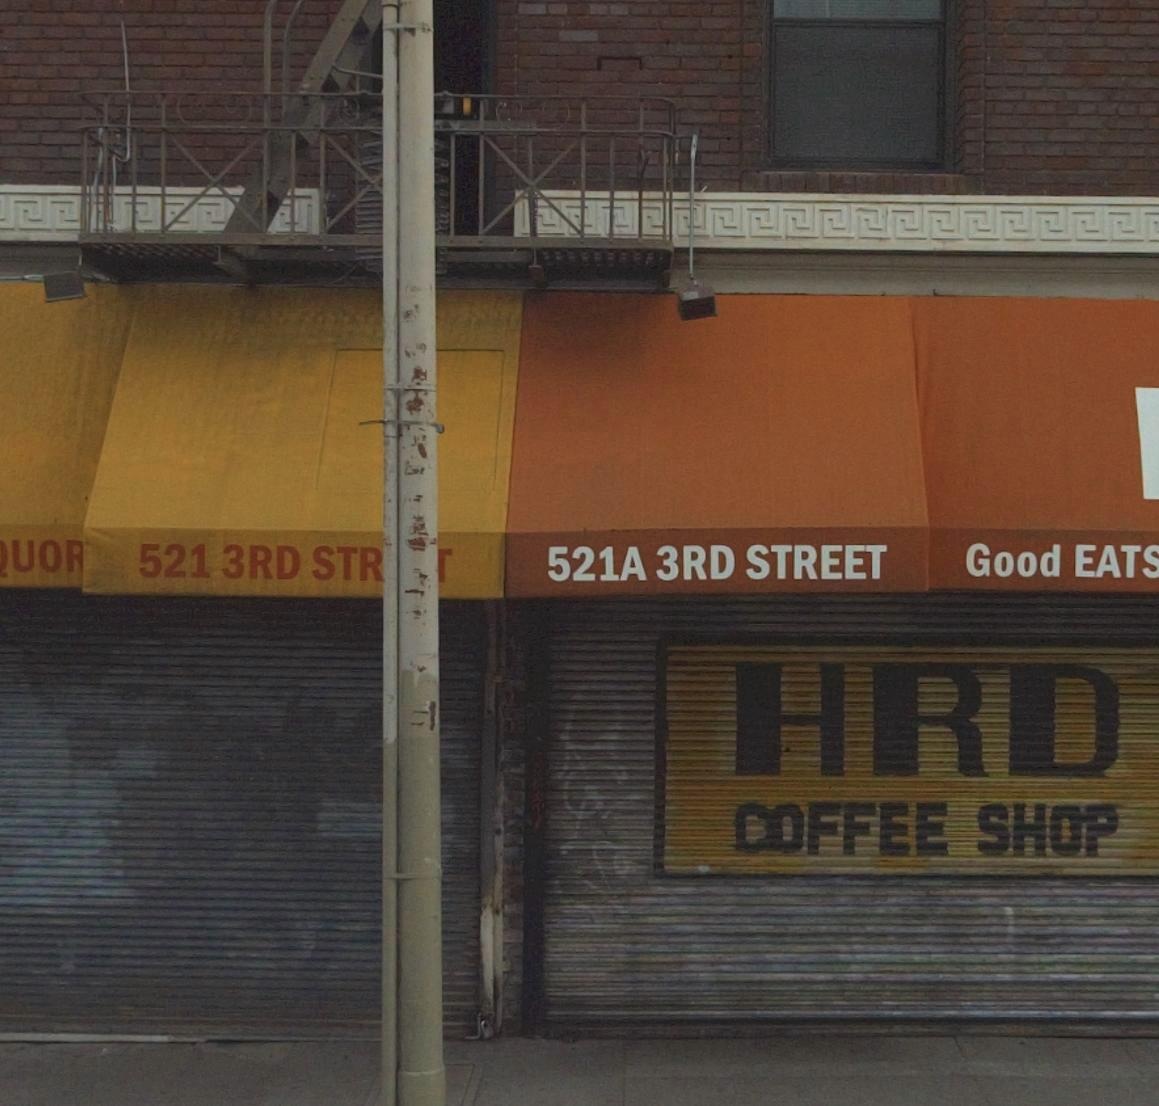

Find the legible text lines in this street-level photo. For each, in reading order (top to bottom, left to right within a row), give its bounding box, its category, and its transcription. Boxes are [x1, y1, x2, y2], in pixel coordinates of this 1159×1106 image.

[8, 536, 65, 576] None: UO
[136, 540, 213, 581] StreetNumber: 521
[219, 541, 388, 585] StreetName: 3RD STR
[546, 542, 650, 584] StreetNumber: 521A
[653, 541, 890, 583] StreetName: 3RD STREET
[963, 538, 1145, 581] None: Good EAT
[727, 653, 1125, 783] BusinessName: HRD
[730, 794, 1125, 862] BusinessName: COFFEE SHOP